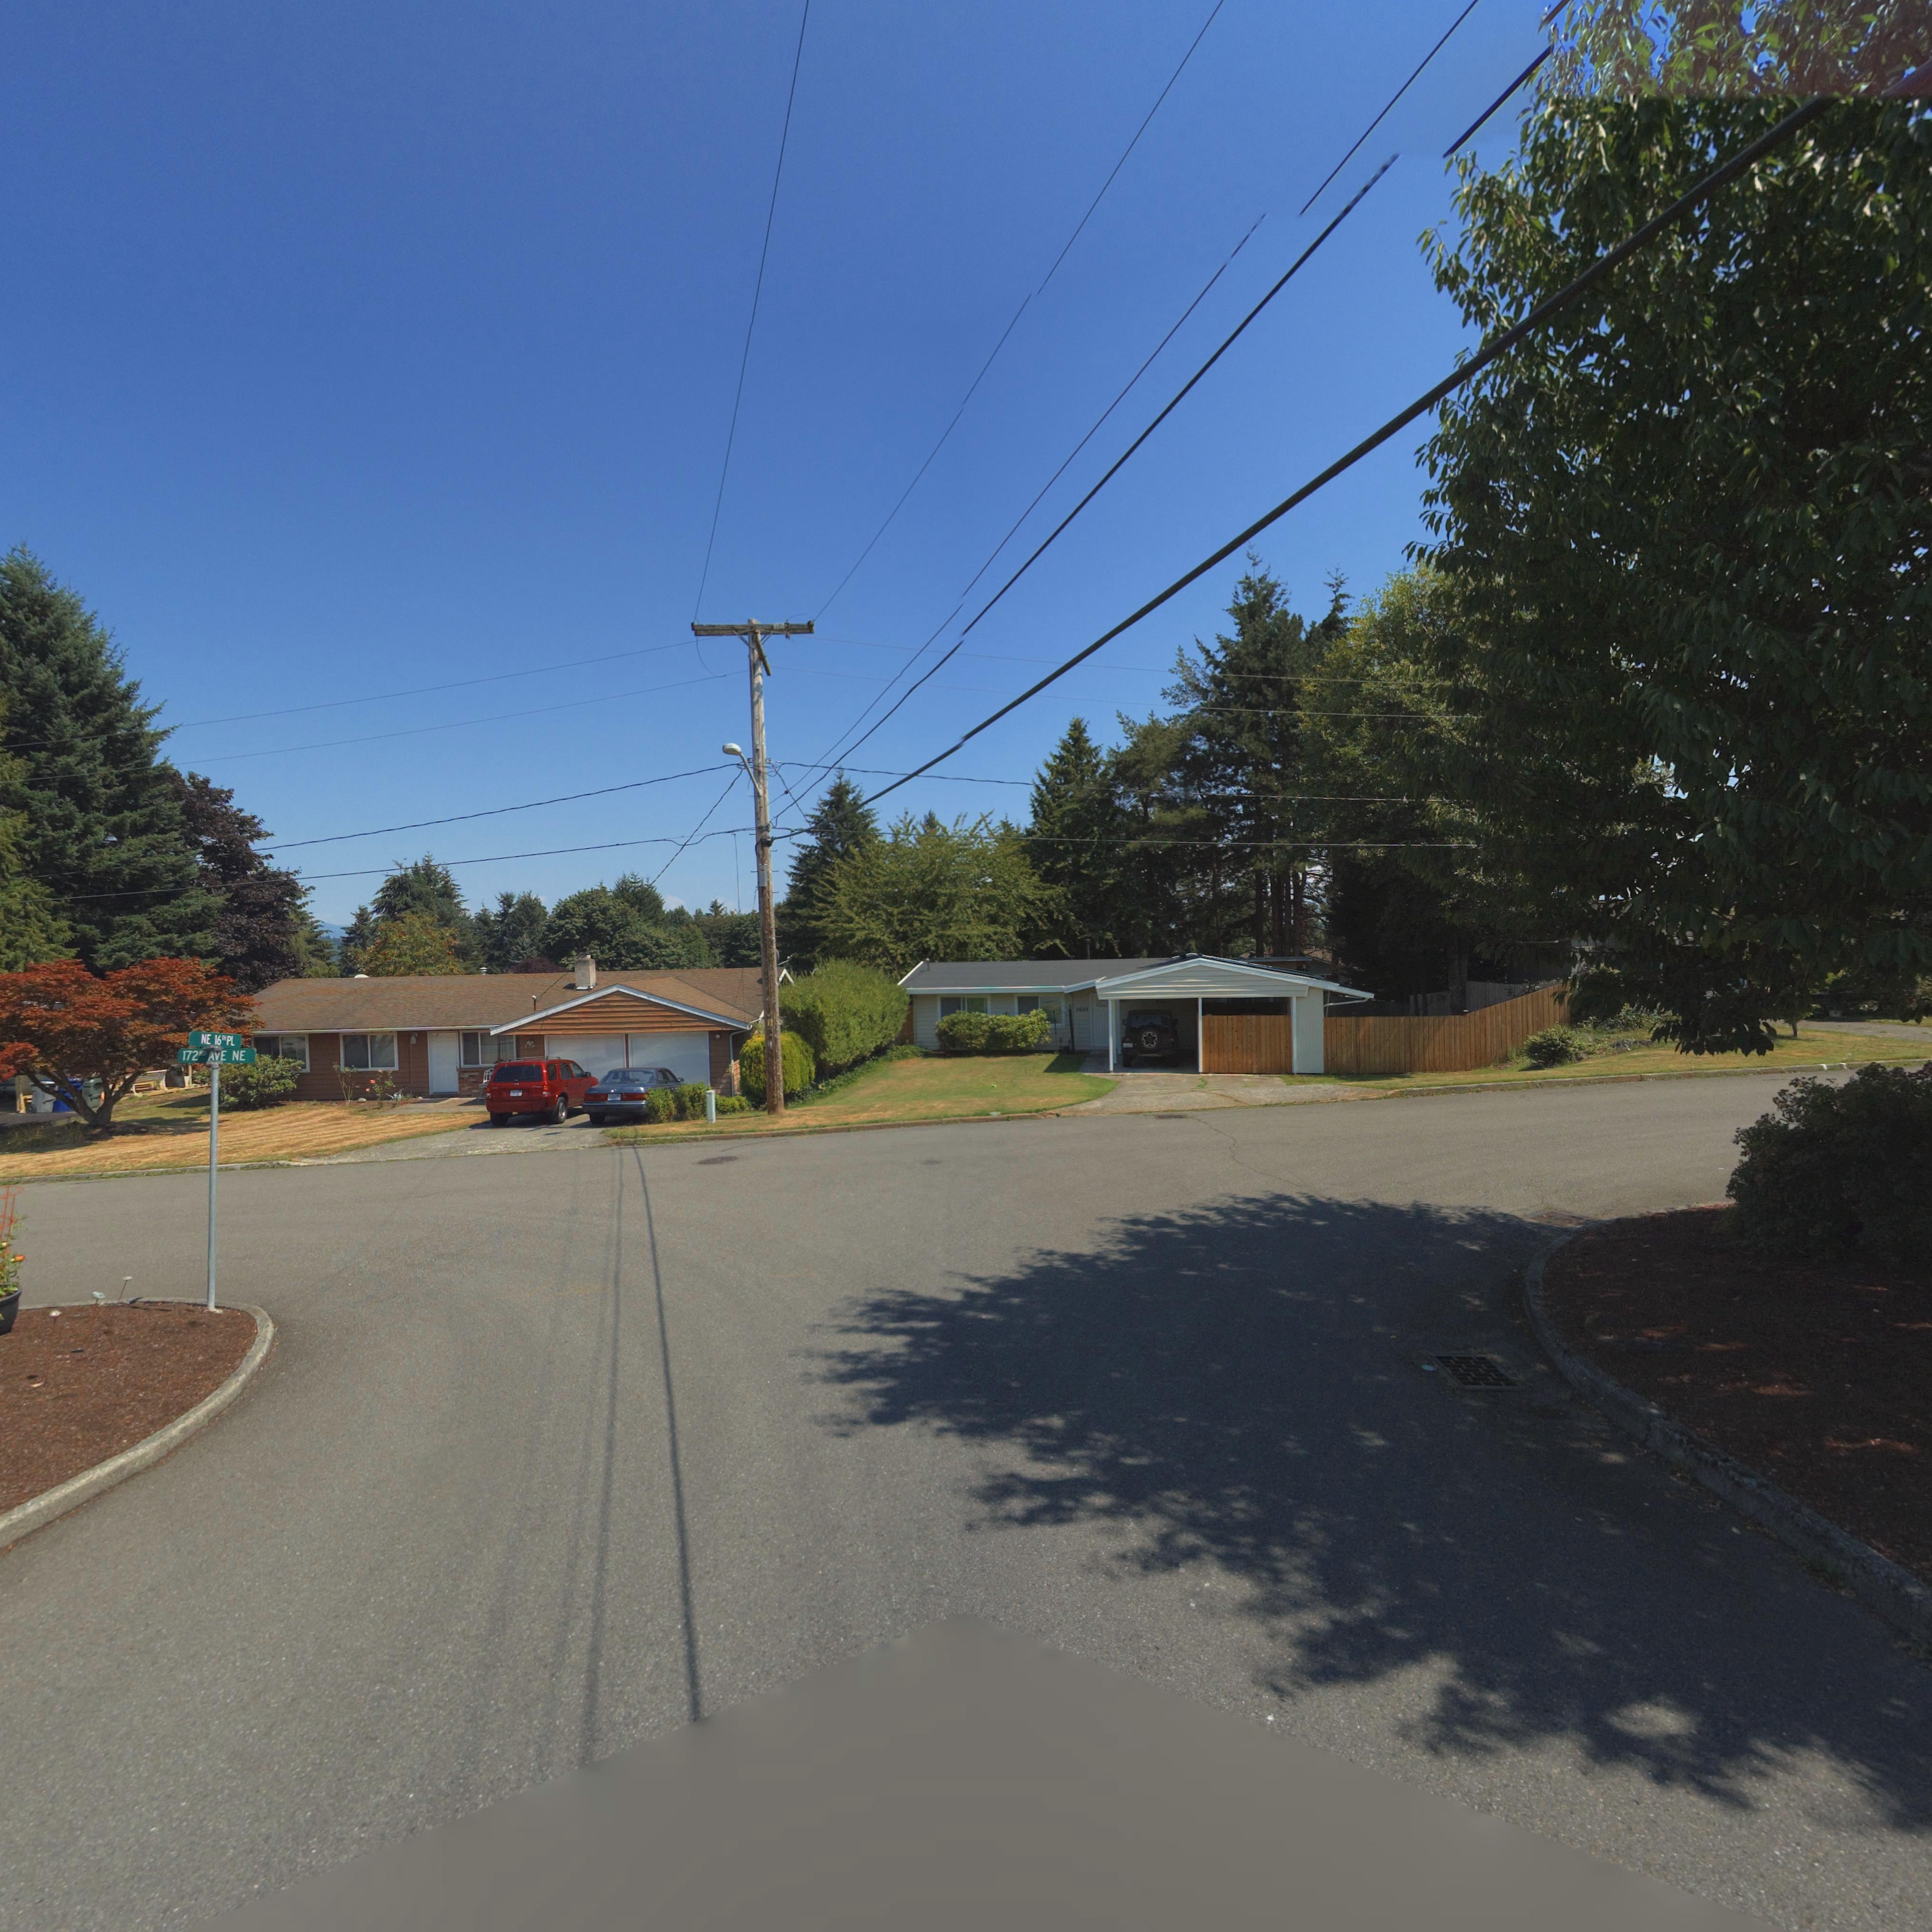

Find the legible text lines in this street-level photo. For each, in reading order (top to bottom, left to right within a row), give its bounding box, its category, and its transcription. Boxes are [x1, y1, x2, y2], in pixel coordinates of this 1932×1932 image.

[1076, 1006, 1088, 1012] StreetNumber: 1614
[200, 1032, 235, 1046] StreetName: NE 16th PL
[182, 1050, 246, 1061] StreetName: 172nd AVE NE